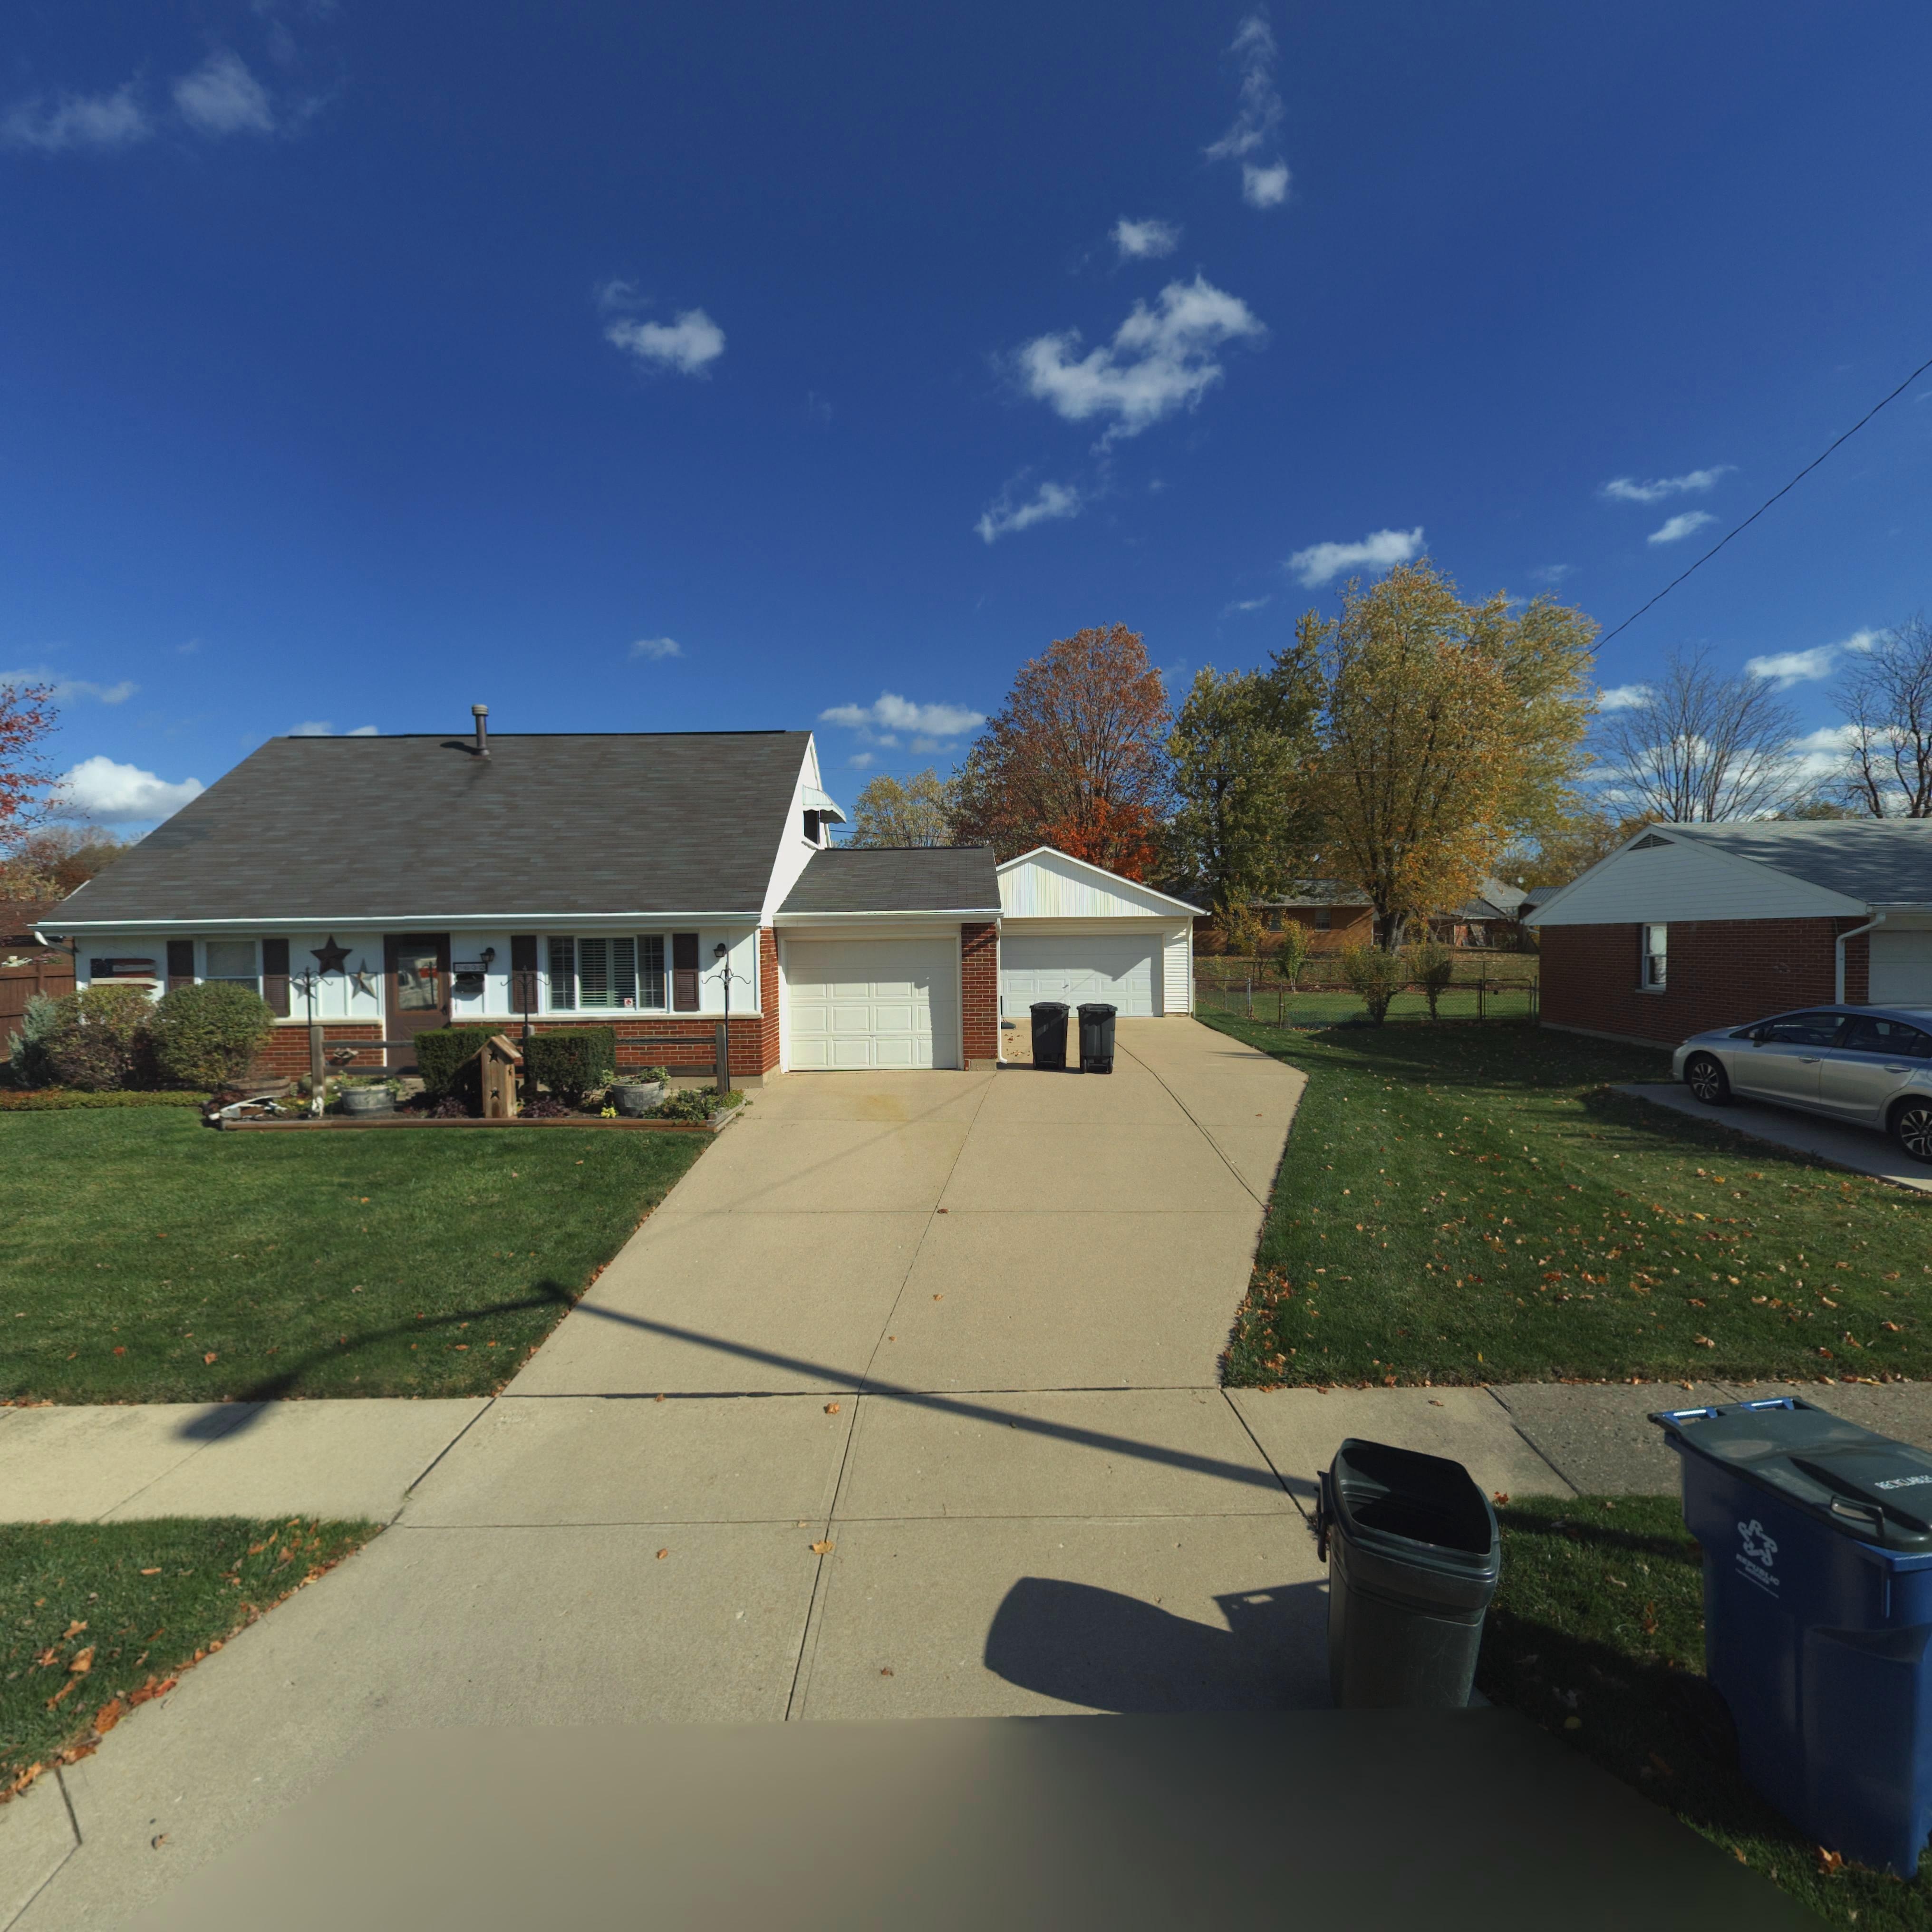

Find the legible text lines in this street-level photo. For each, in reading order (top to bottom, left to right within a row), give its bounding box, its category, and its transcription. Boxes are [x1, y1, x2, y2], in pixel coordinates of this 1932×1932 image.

[455, 964, 484, 970] StreetNumber: 7632